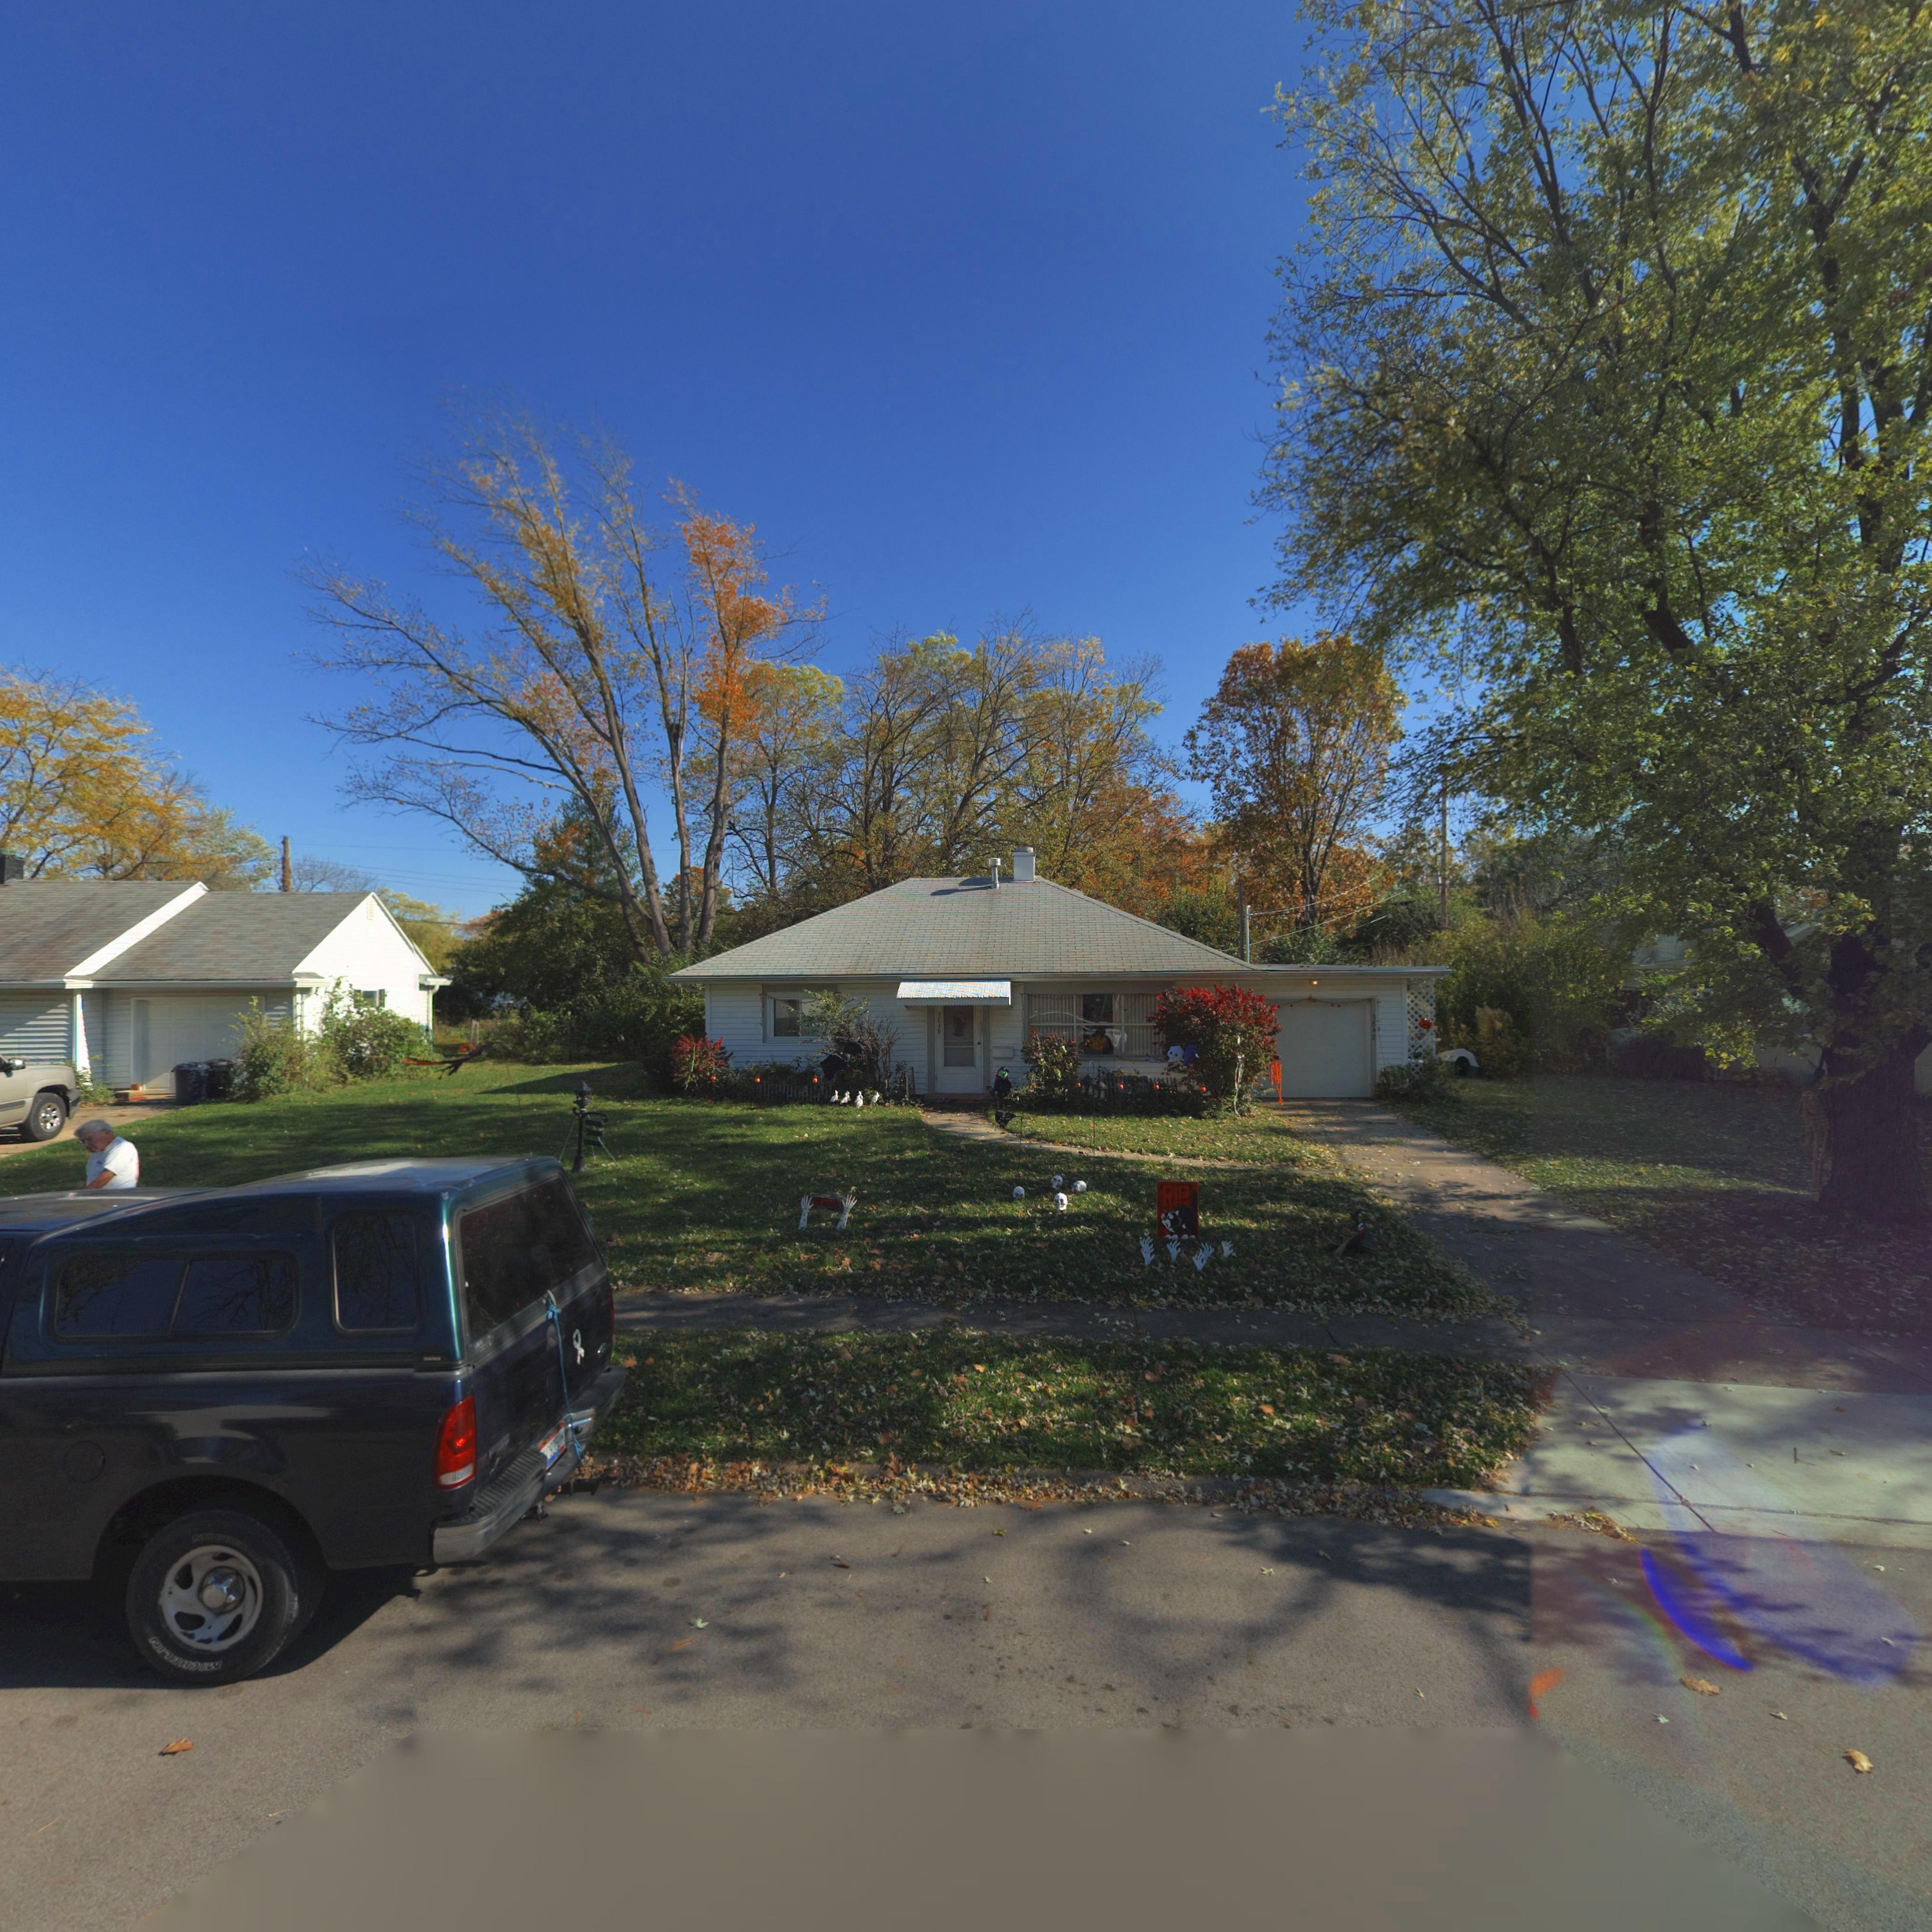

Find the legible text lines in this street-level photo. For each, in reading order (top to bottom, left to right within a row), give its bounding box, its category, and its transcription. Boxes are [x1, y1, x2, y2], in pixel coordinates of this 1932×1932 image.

[937, 1011, 941, 1034] StreetNumber: 3848
[1161, 1183, 1190, 1209] None: RIP